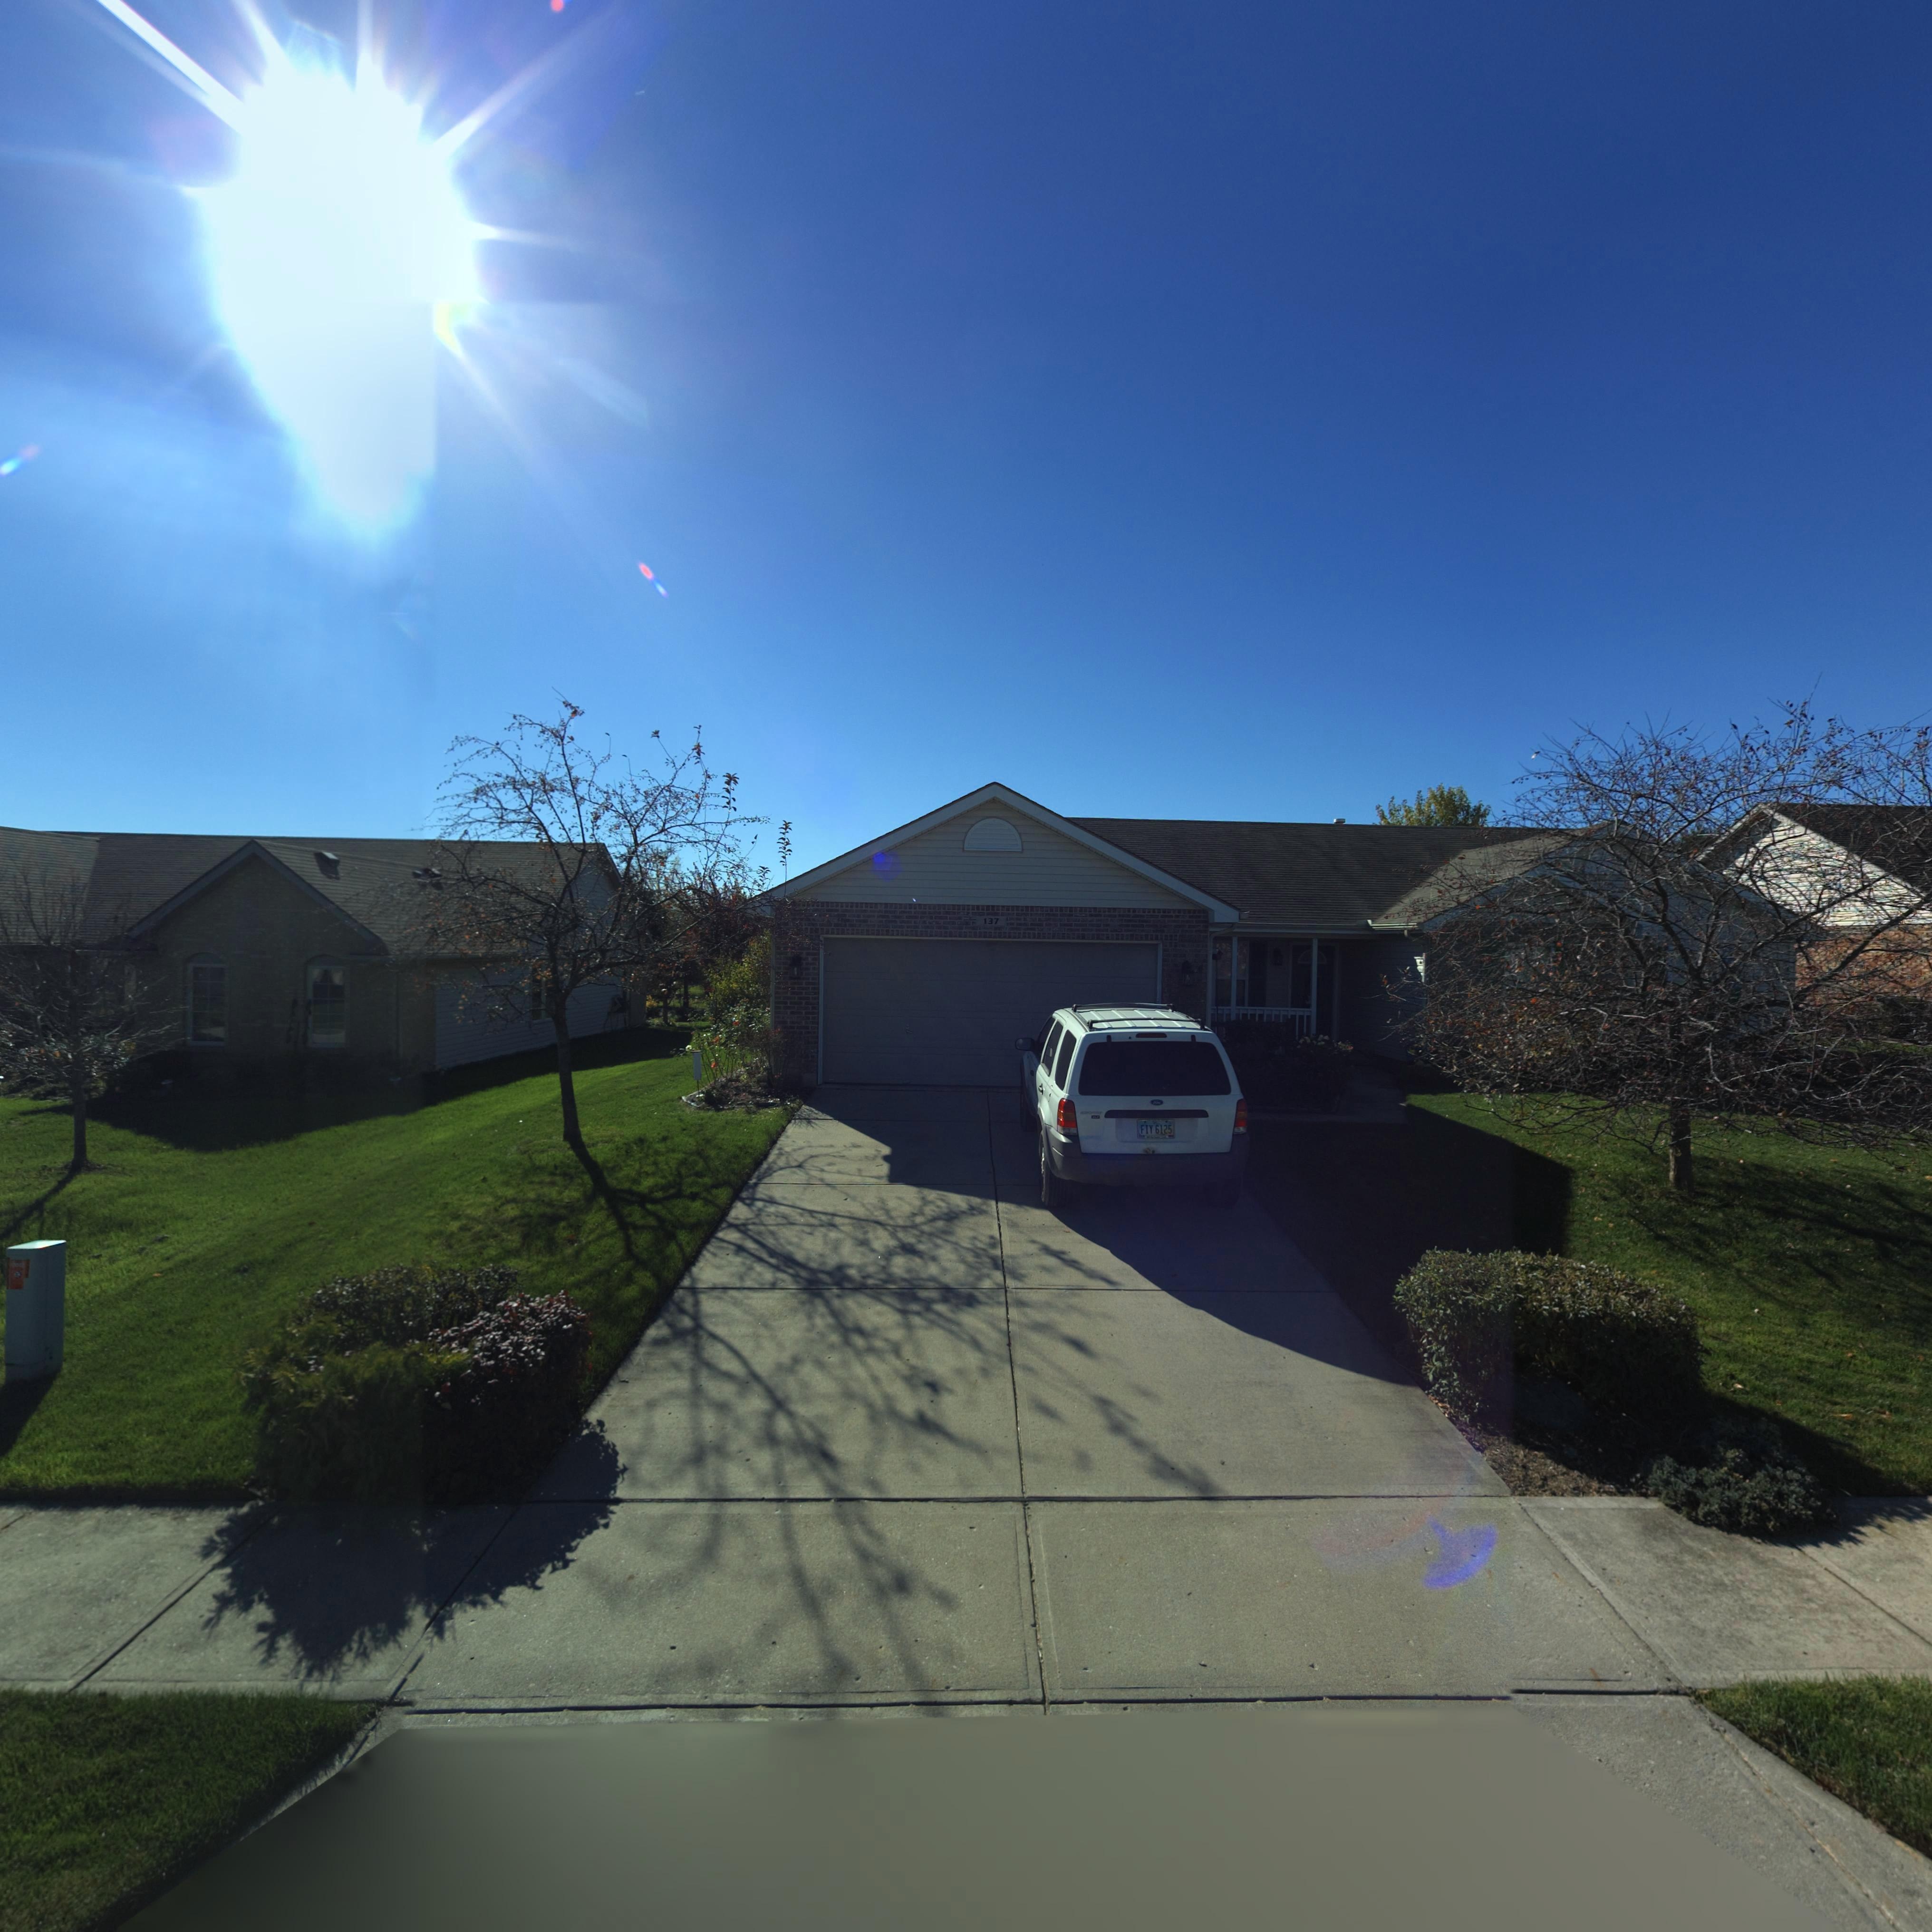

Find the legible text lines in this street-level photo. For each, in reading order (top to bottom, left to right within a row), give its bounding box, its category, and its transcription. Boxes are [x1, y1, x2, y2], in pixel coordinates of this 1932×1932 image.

[983, 918, 1000, 925] StreetNumber: 137
[1140, 1121, 1173, 1135] None: FIY 6125